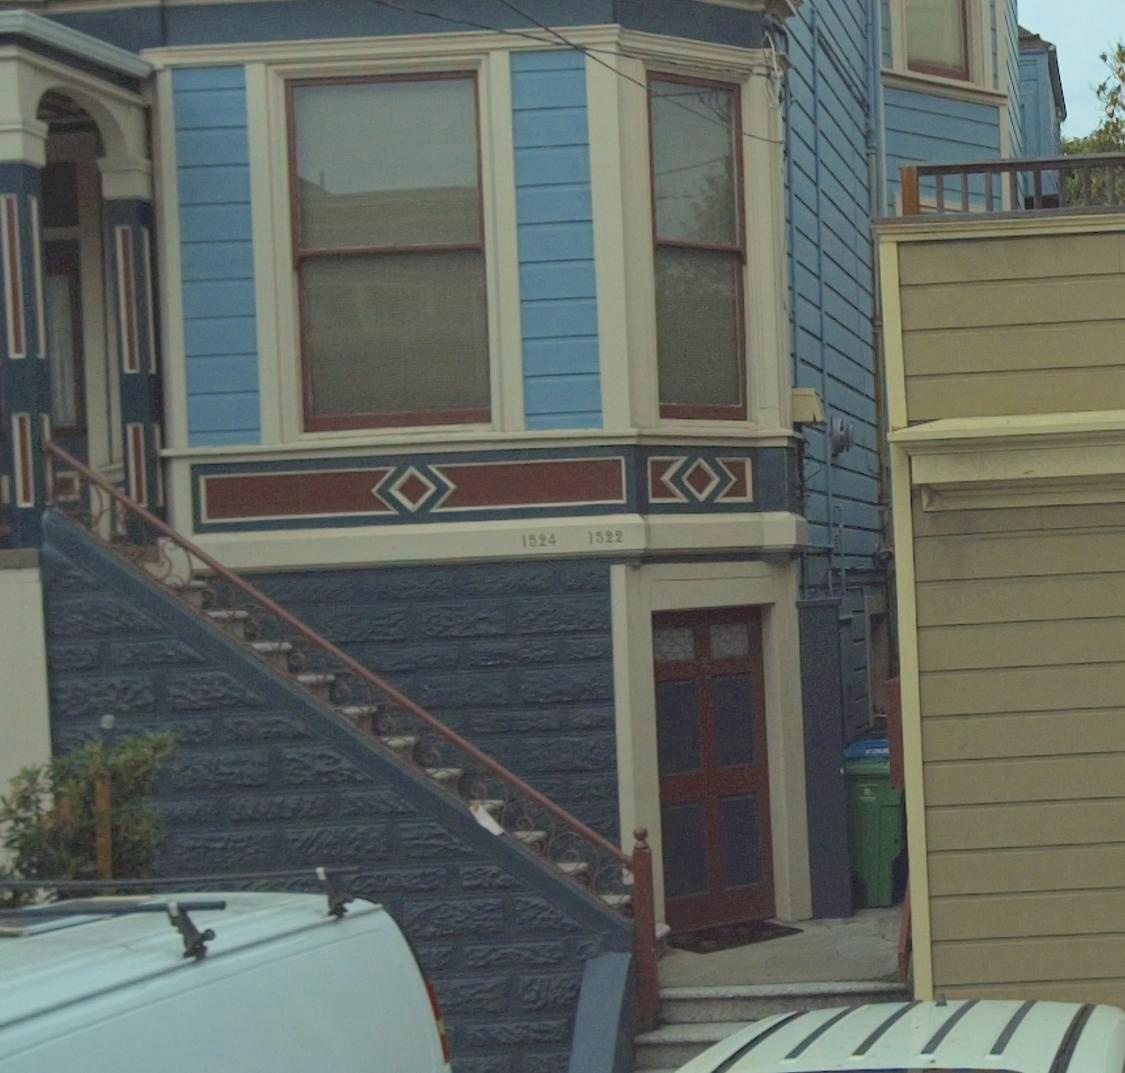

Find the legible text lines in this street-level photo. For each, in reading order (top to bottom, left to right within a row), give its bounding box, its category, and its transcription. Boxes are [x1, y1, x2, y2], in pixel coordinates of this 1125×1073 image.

[522, 531, 558, 550] StreetNumber: 1524
[588, 529, 624, 545] BusinessName: 1522